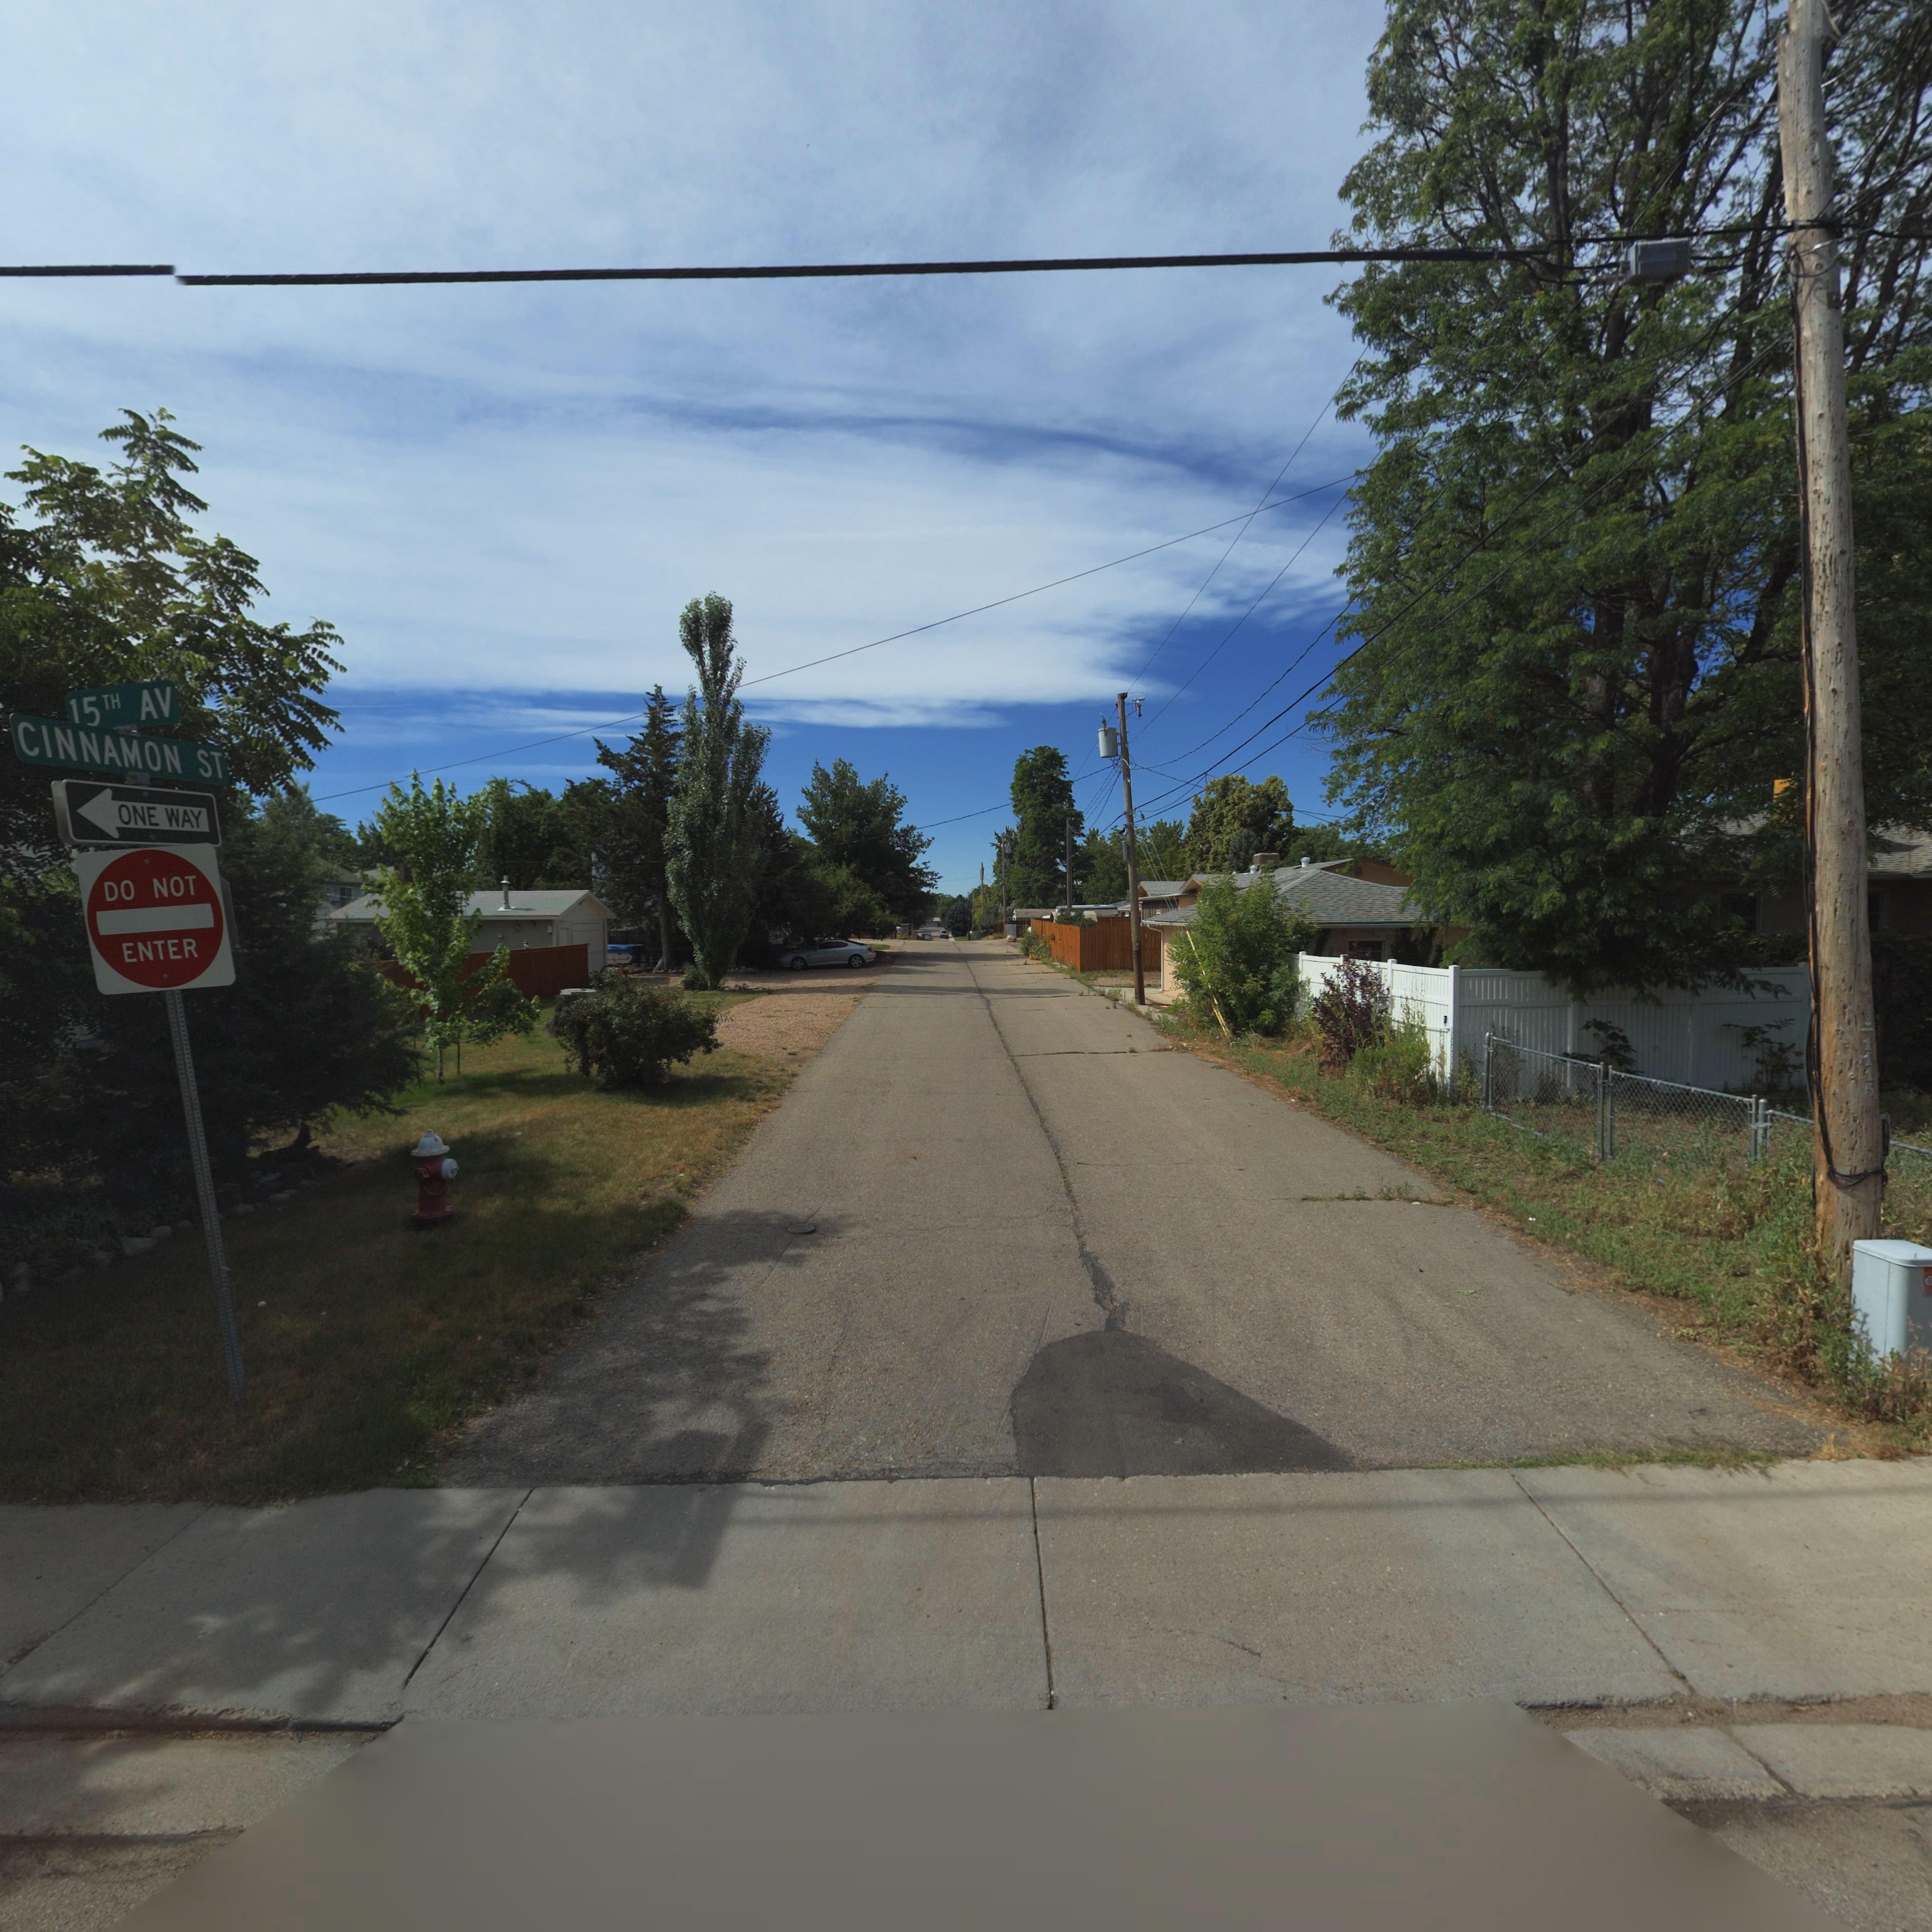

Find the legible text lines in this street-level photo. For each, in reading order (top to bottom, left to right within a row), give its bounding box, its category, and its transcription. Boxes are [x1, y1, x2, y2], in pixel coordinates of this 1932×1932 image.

[68, 685, 173, 727] StreetName: 15TH AV
[16, 720, 223, 780] StreetName: CINNAMON ST